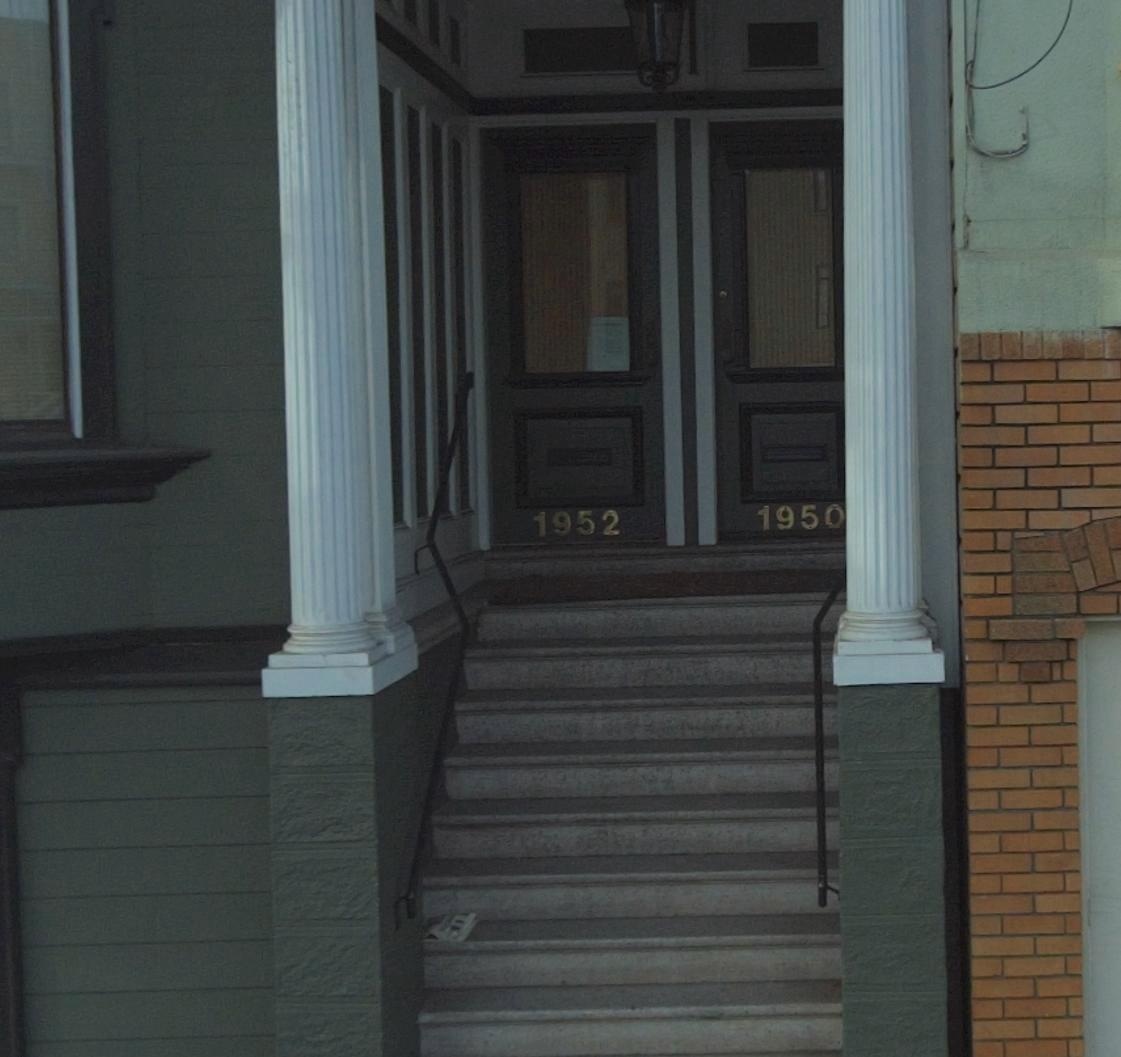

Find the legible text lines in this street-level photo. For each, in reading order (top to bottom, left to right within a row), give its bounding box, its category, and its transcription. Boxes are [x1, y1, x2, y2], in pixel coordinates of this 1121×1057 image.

[531, 506, 623, 540] StreetNumber: 1952
[753, 500, 847, 535] StreetNumber: 1950